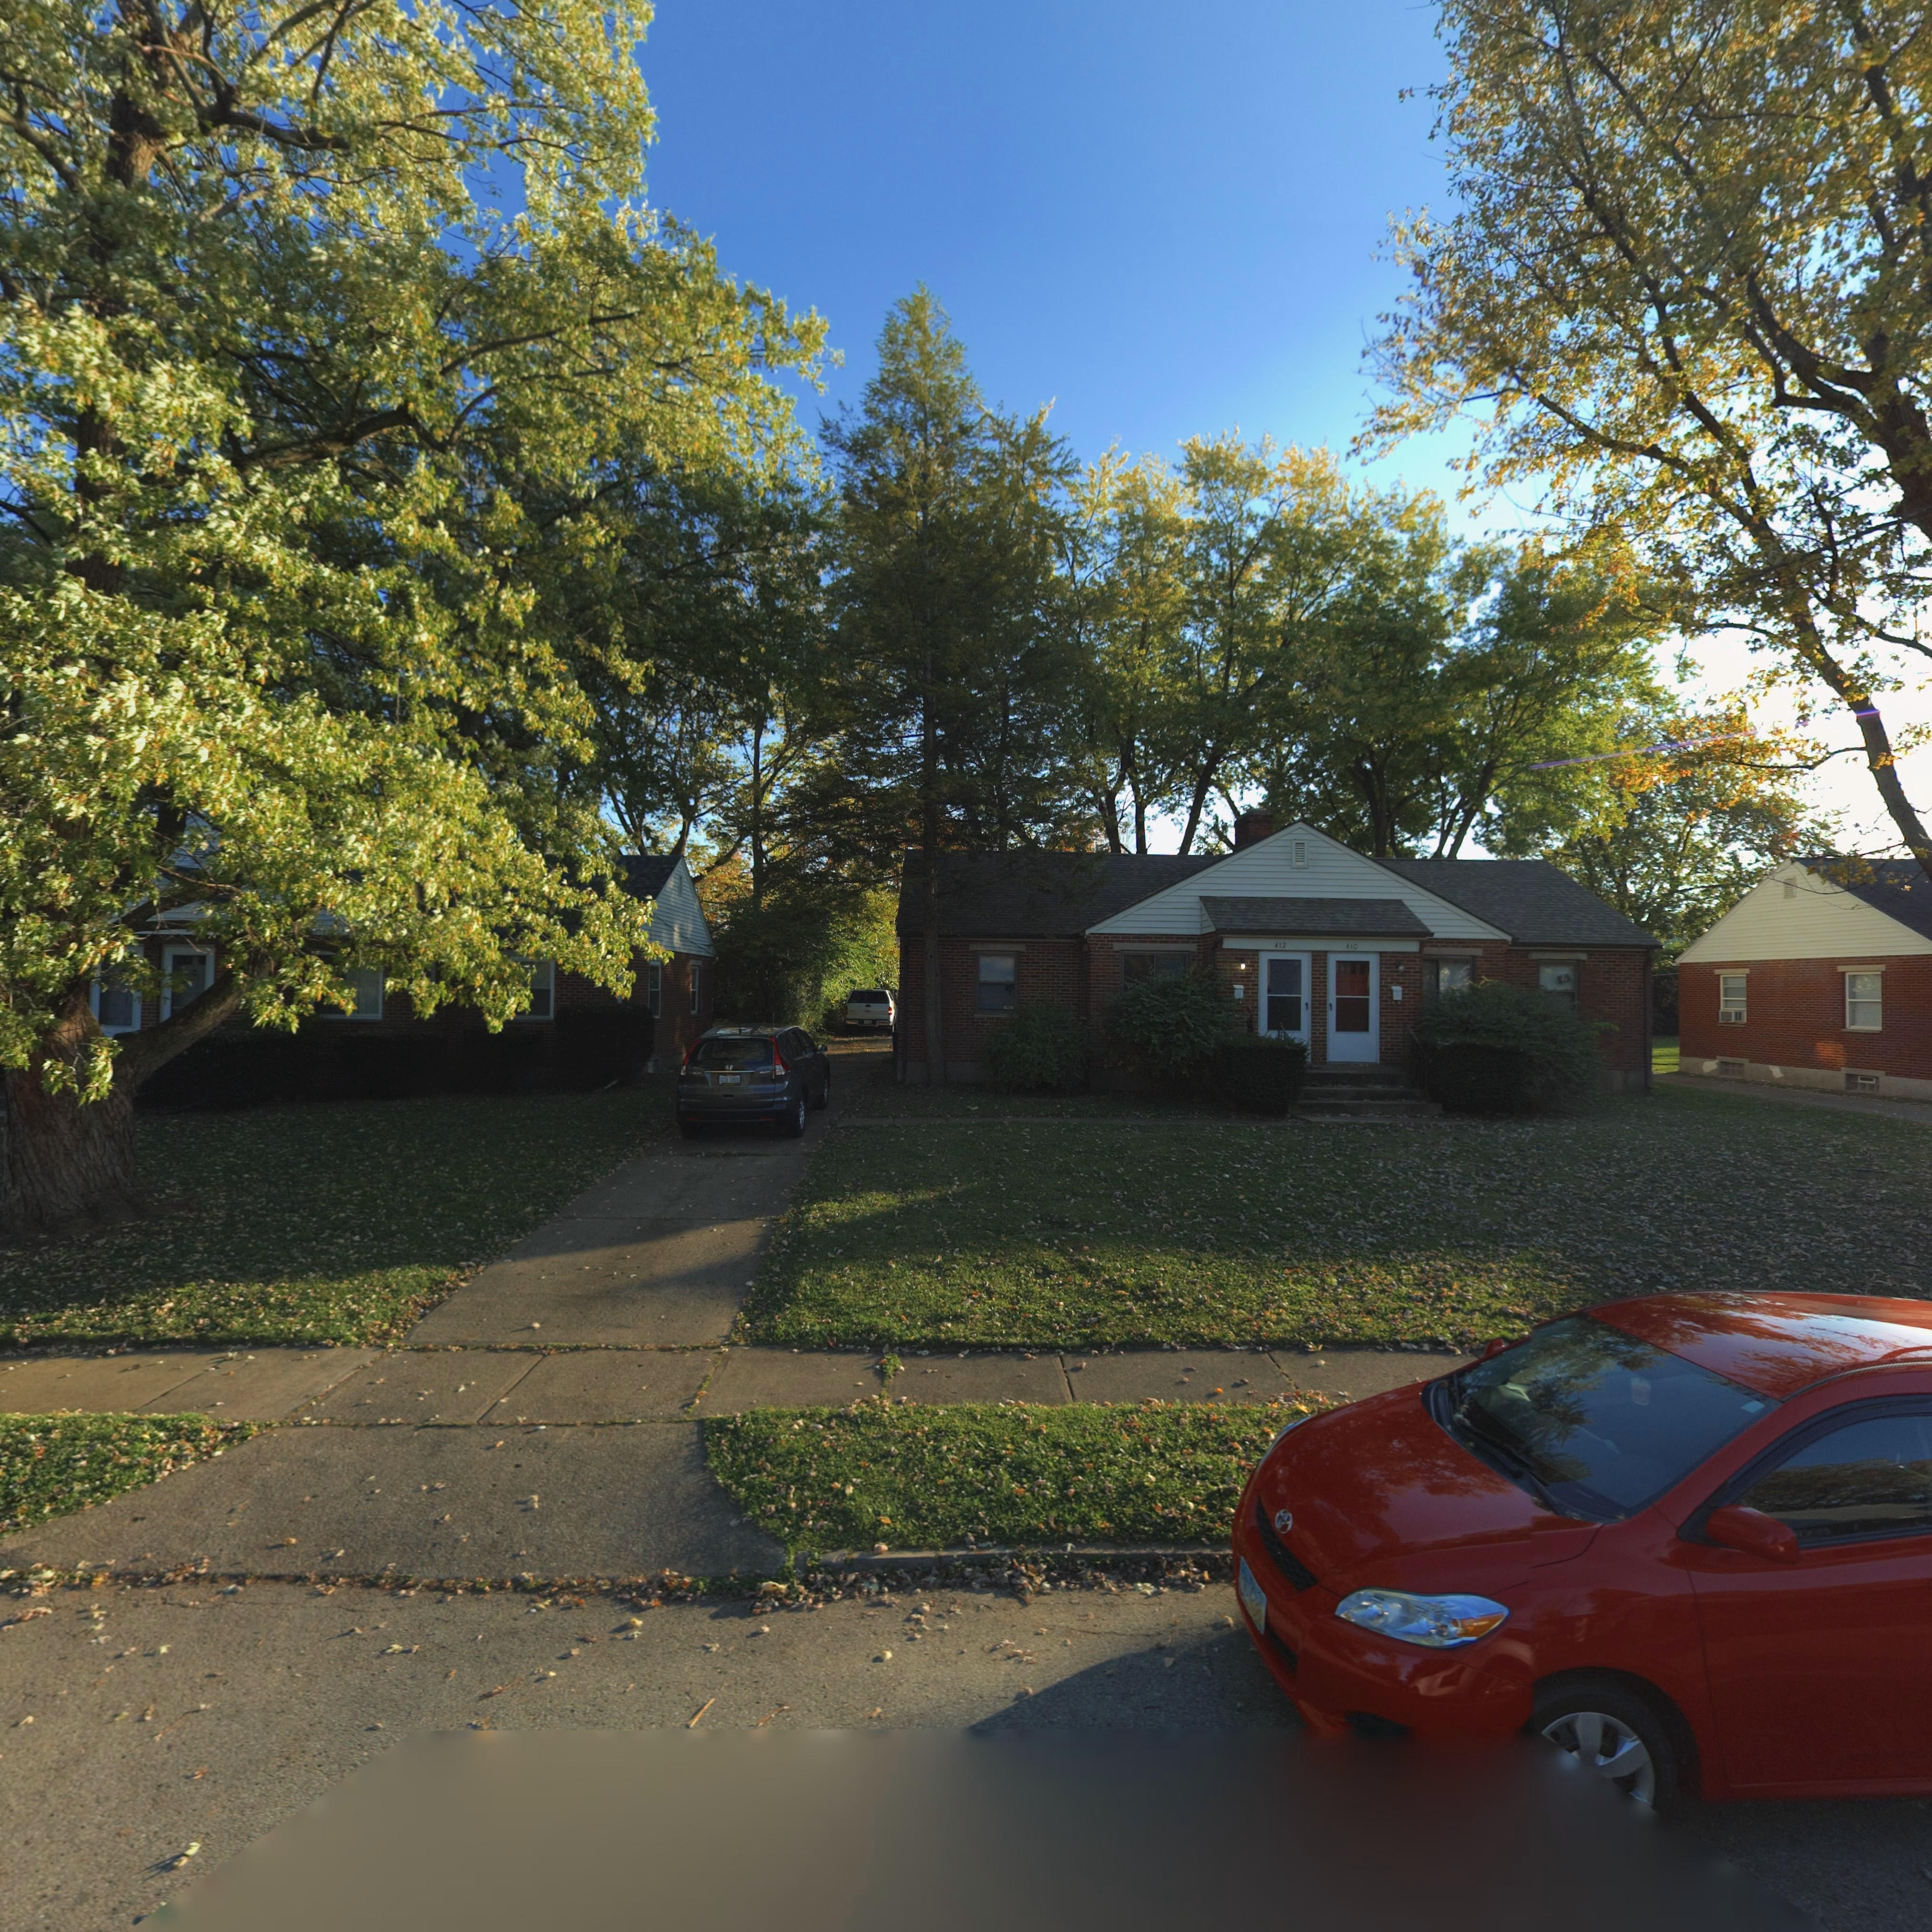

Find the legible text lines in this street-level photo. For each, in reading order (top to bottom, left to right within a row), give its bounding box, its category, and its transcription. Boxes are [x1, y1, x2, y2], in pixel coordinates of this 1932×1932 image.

[1273, 940, 1287, 949] StreetNumber: 412
[1344, 943, 1359, 951] StreetNumber: 410